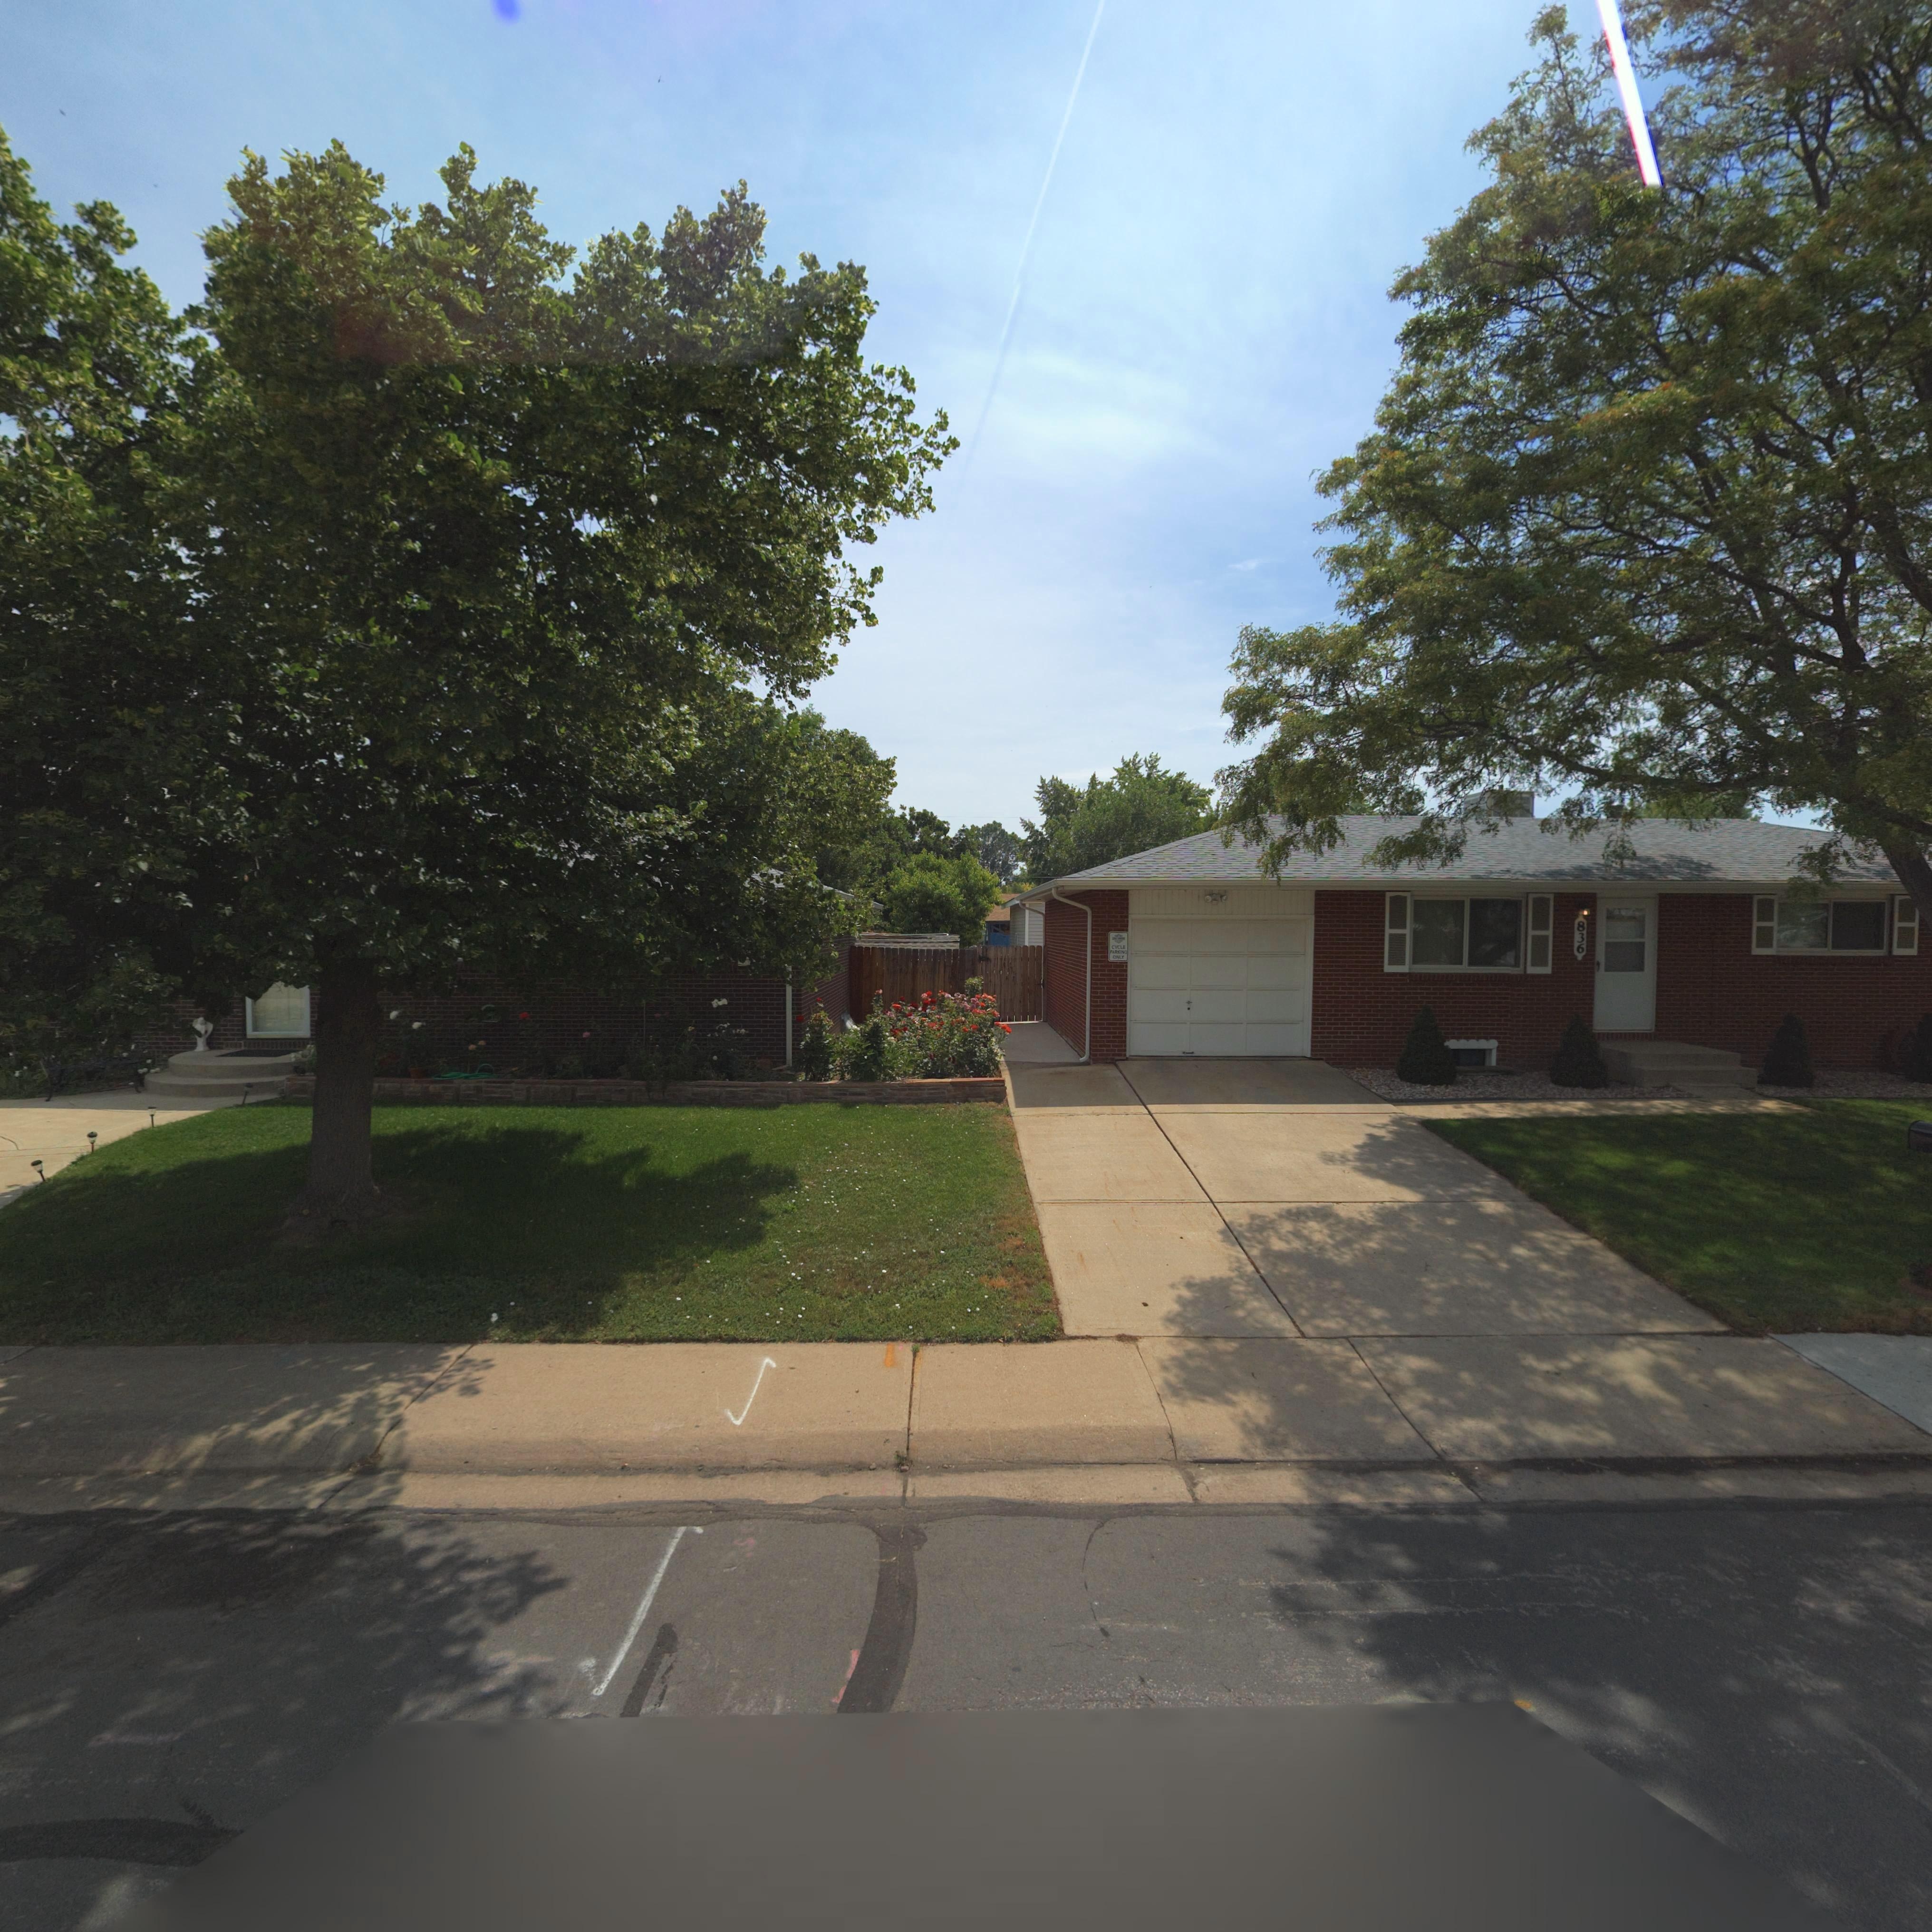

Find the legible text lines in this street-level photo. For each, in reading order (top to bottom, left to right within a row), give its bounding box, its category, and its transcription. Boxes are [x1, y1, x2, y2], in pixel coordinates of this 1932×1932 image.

[1575, 920, 1586, 954] StreetNumber: 836